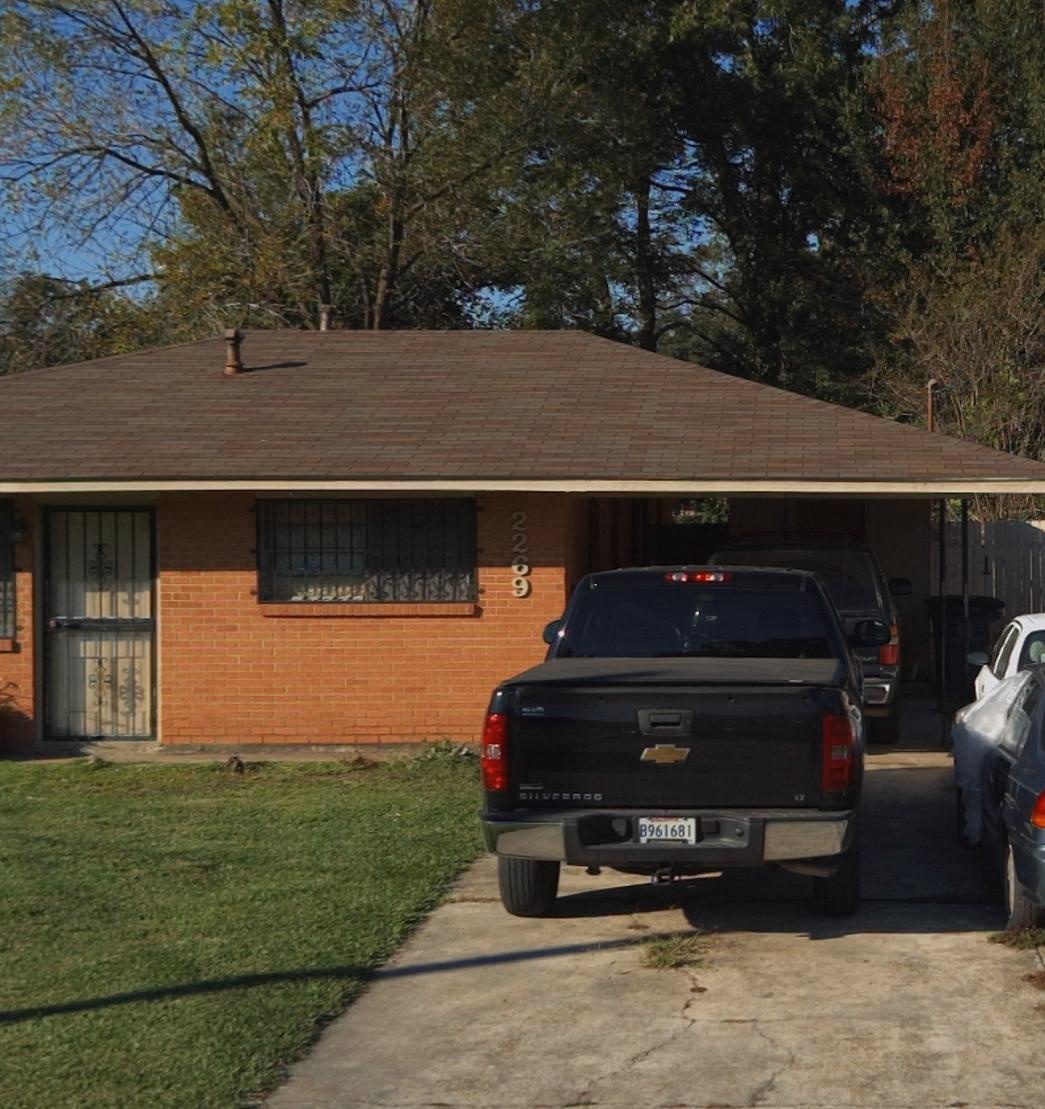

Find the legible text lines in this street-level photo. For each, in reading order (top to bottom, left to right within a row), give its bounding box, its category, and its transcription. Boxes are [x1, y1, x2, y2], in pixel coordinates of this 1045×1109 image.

[509, 510, 531, 599] StreetNumber: 2269
[517, 791, 604, 801] None: SILVERADO
[638, 822, 693, 838] None: 8961681